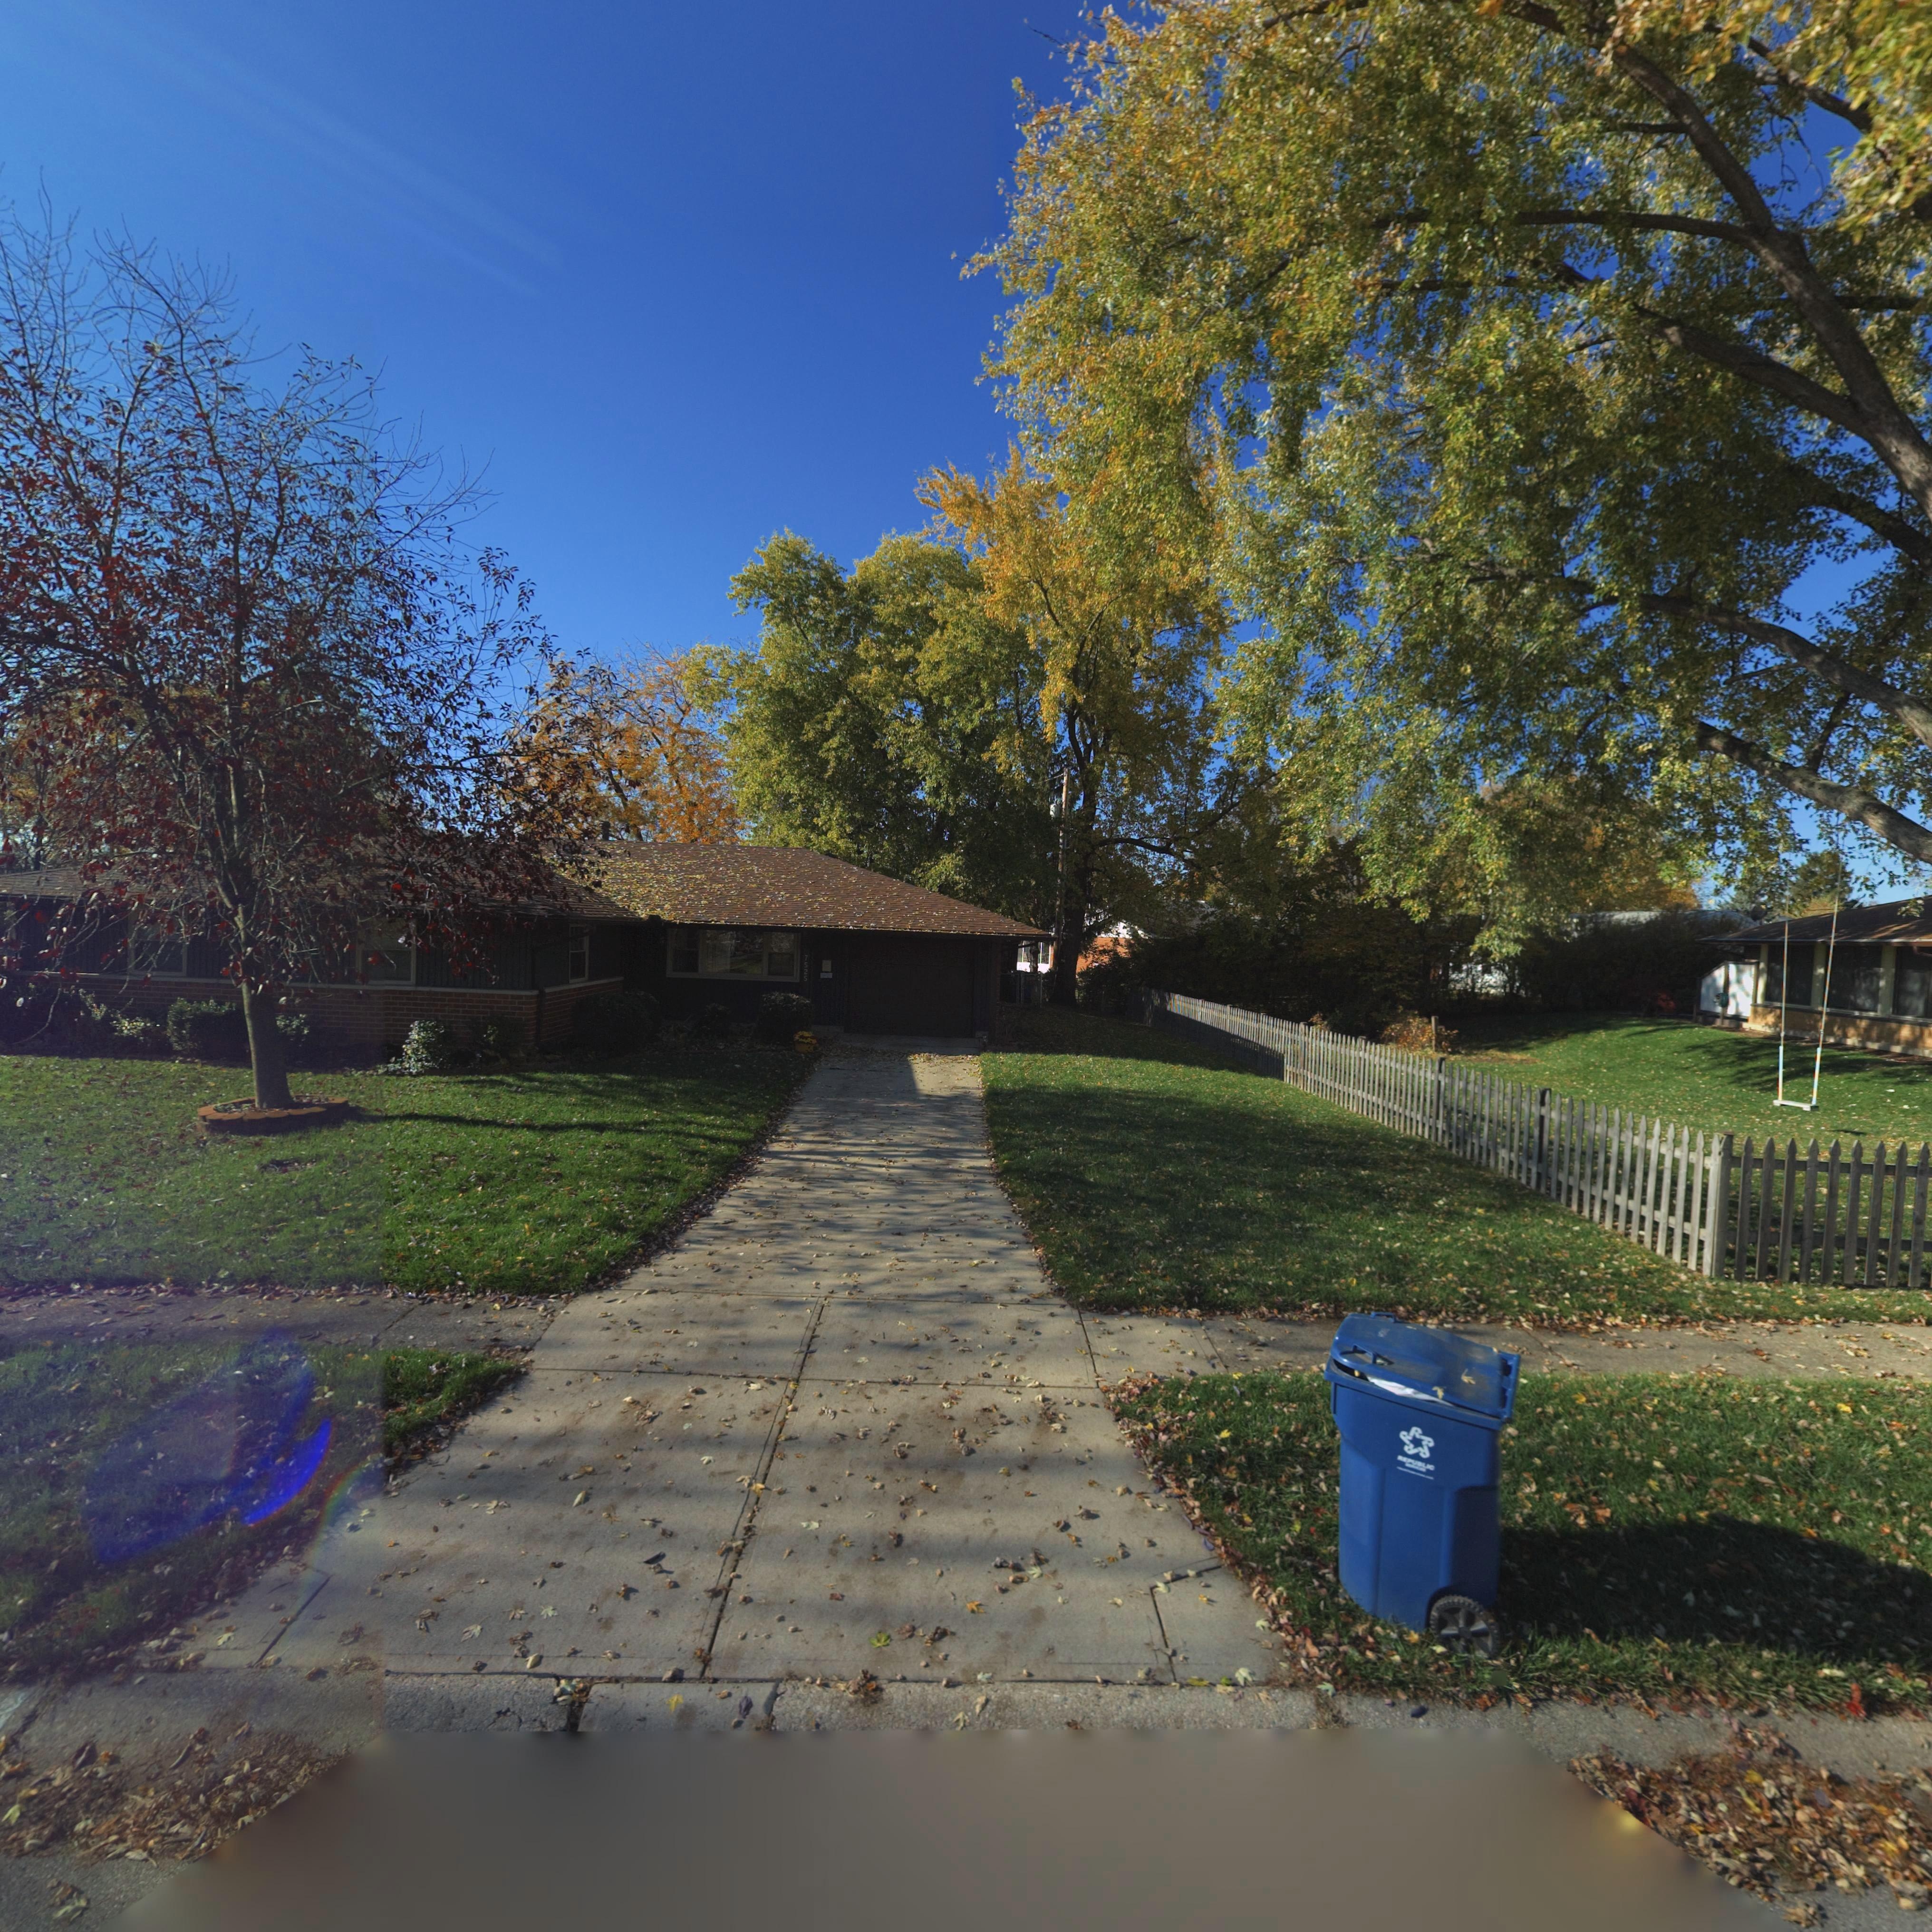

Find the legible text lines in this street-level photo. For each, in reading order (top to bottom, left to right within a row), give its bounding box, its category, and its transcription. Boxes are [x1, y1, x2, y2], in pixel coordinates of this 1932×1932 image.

[802, 954, 810, 983] StreetNumber: 7525